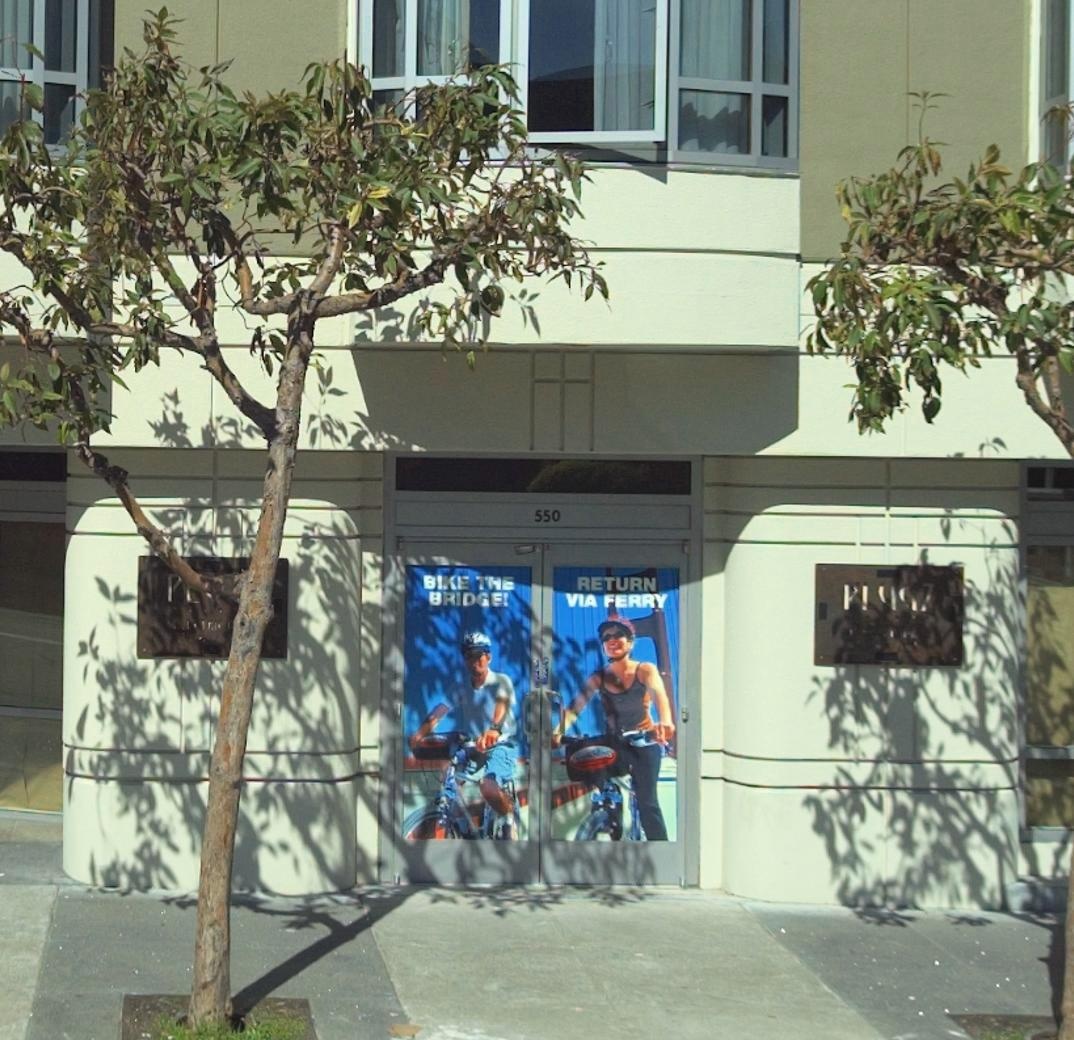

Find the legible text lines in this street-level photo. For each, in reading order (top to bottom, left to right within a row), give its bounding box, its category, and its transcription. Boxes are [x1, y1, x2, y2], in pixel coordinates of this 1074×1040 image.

[533, 507, 561, 524] StreetNumber: 550
[166, 572, 181, 603] BusinessName: P
[428, 590, 509, 608] None: BRIDGE!
[423, 572, 516, 592] None: BIKE THE
[564, 591, 669, 609] None: VIA FERRY
[577, 575, 657, 593] None: RETURN
[842, 581, 871, 612] BusinessName: PI